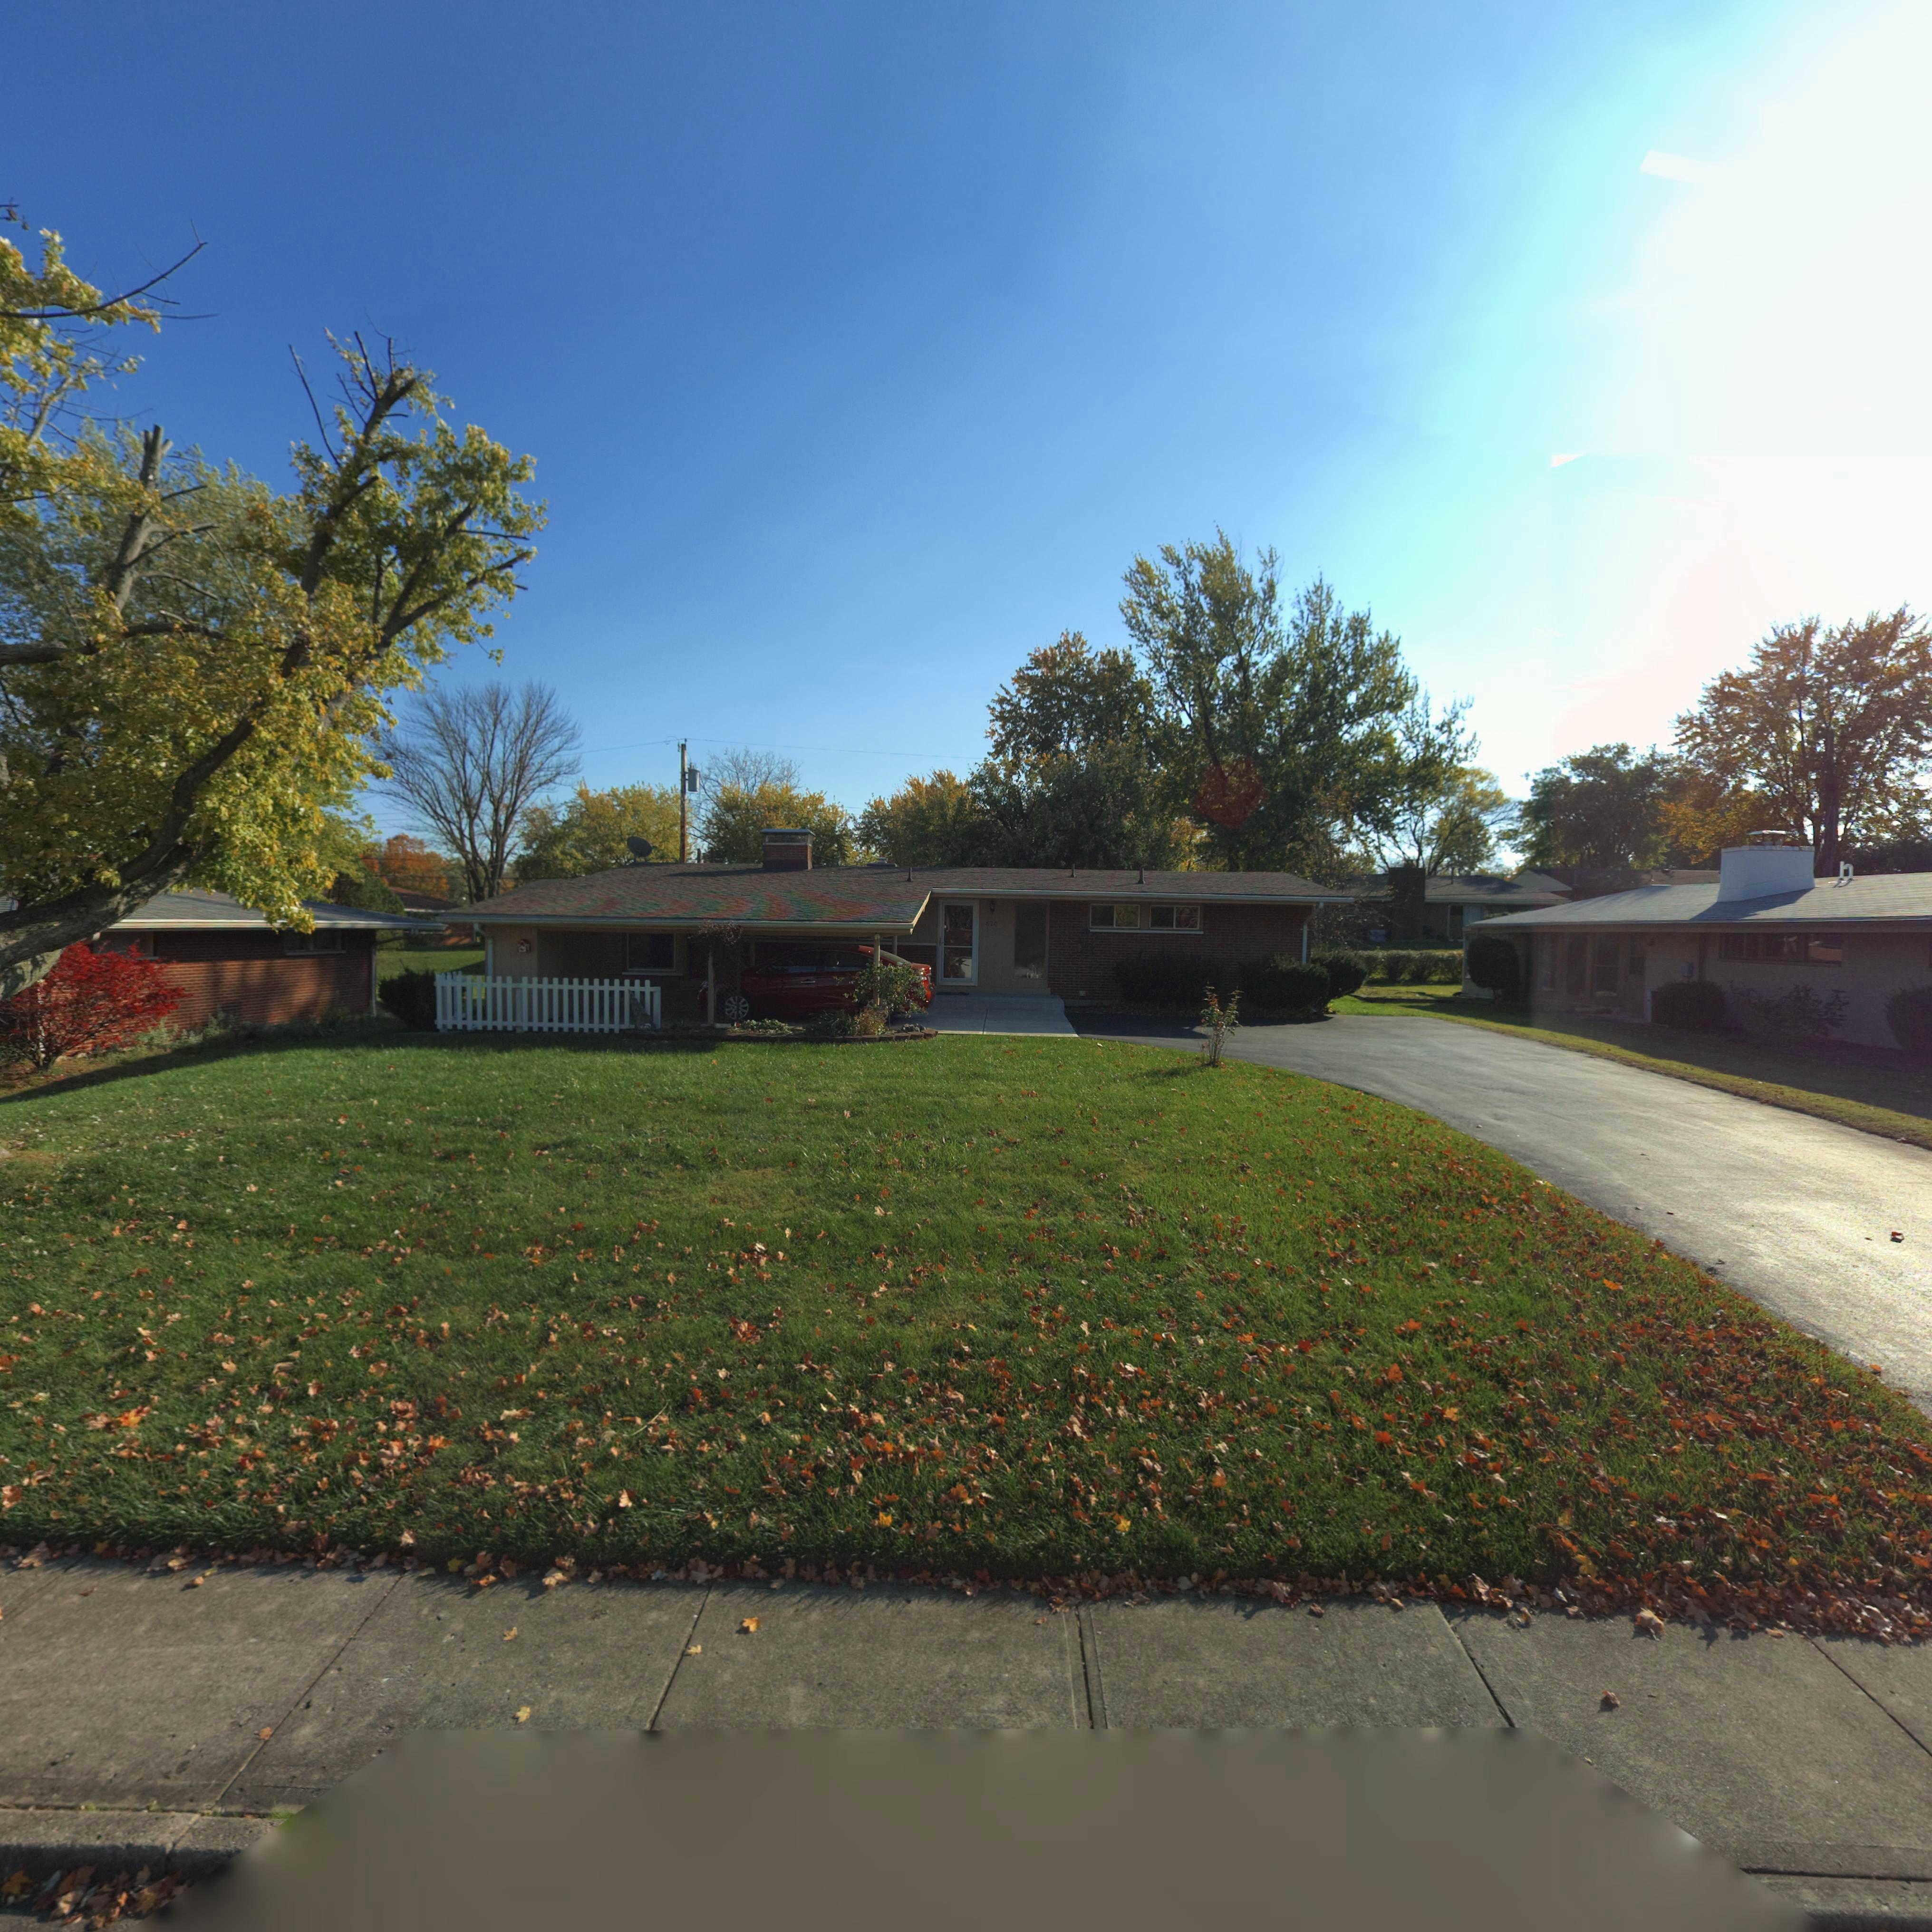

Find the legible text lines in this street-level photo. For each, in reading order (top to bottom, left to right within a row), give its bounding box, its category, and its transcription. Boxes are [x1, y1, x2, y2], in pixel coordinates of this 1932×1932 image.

[985, 920, 998, 927] StreetNumber: 820